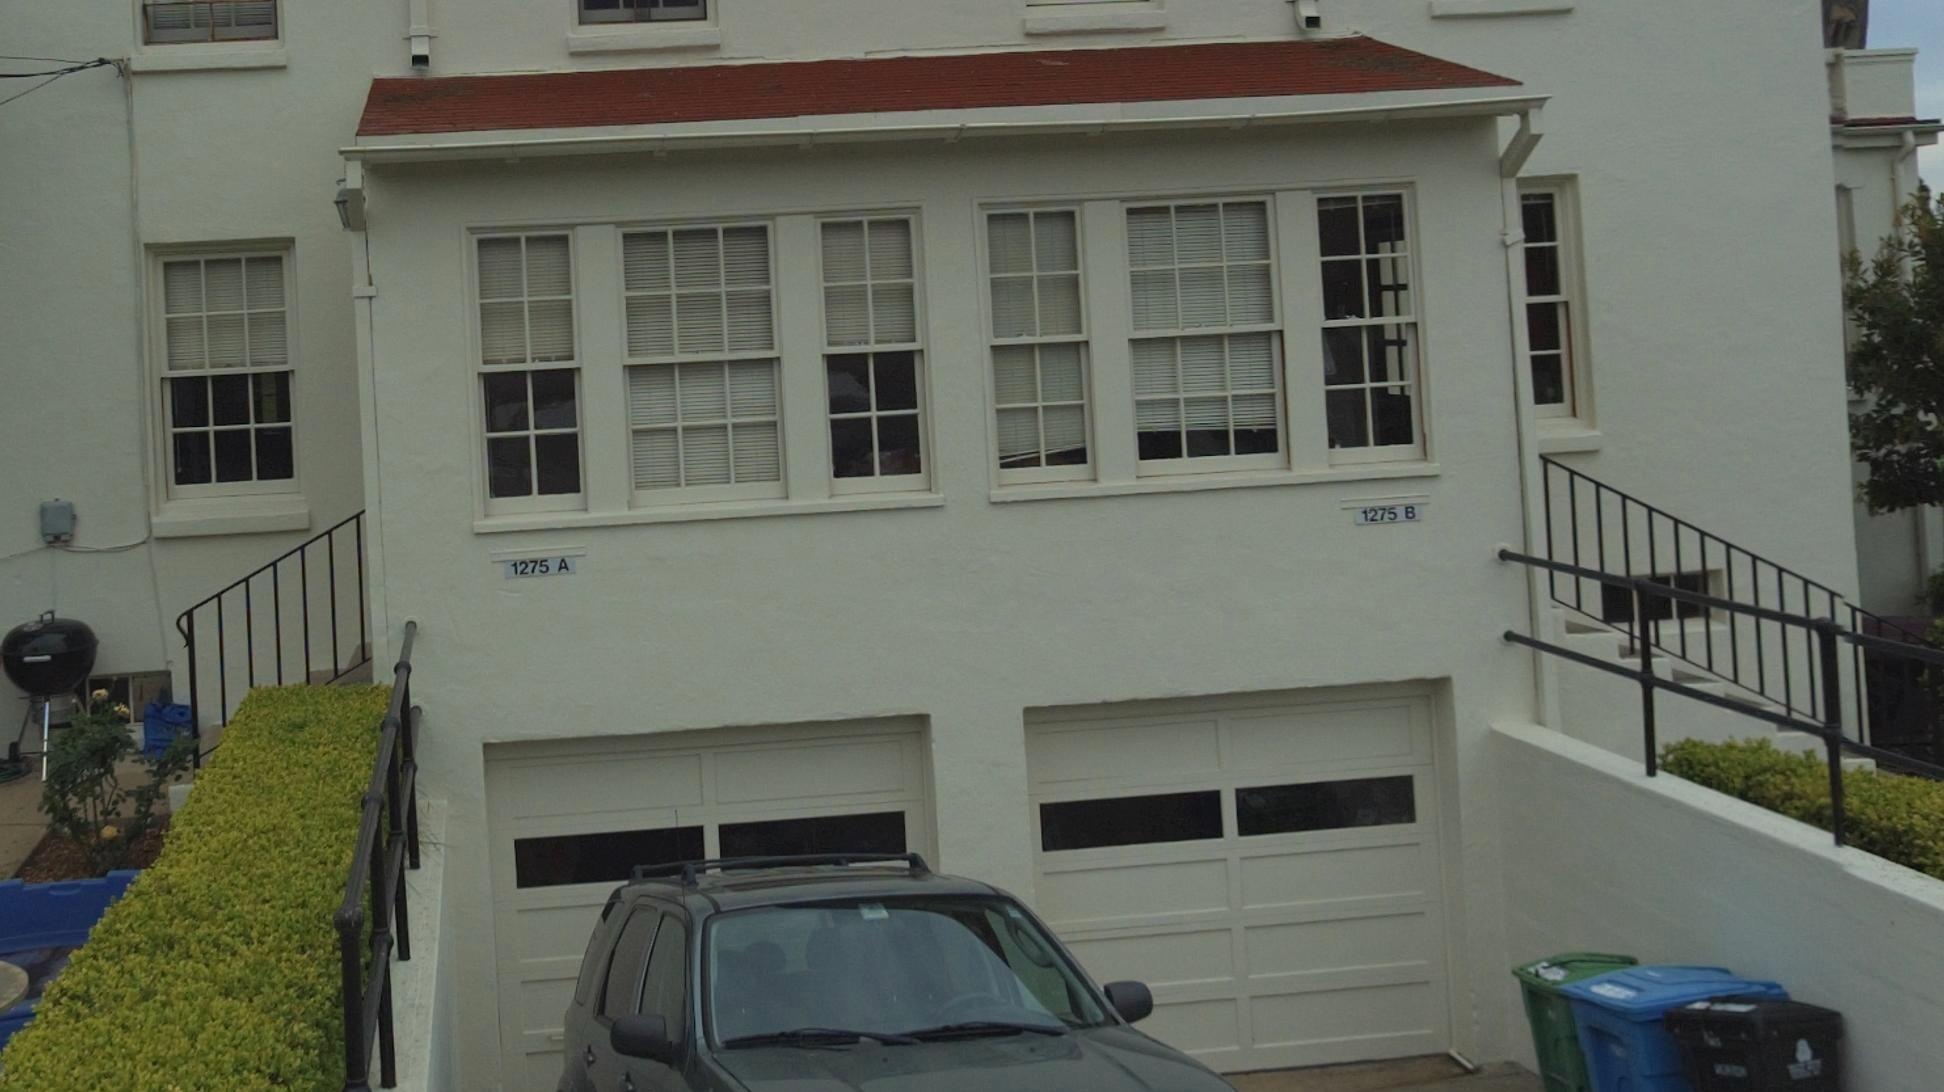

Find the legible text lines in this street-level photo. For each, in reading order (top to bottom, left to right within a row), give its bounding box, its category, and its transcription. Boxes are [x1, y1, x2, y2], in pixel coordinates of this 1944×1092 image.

[1359, 505, 1417, 523] StreetNumber: 1275 B
[509, 556, 572, 577] StreetNumber: 1275 A